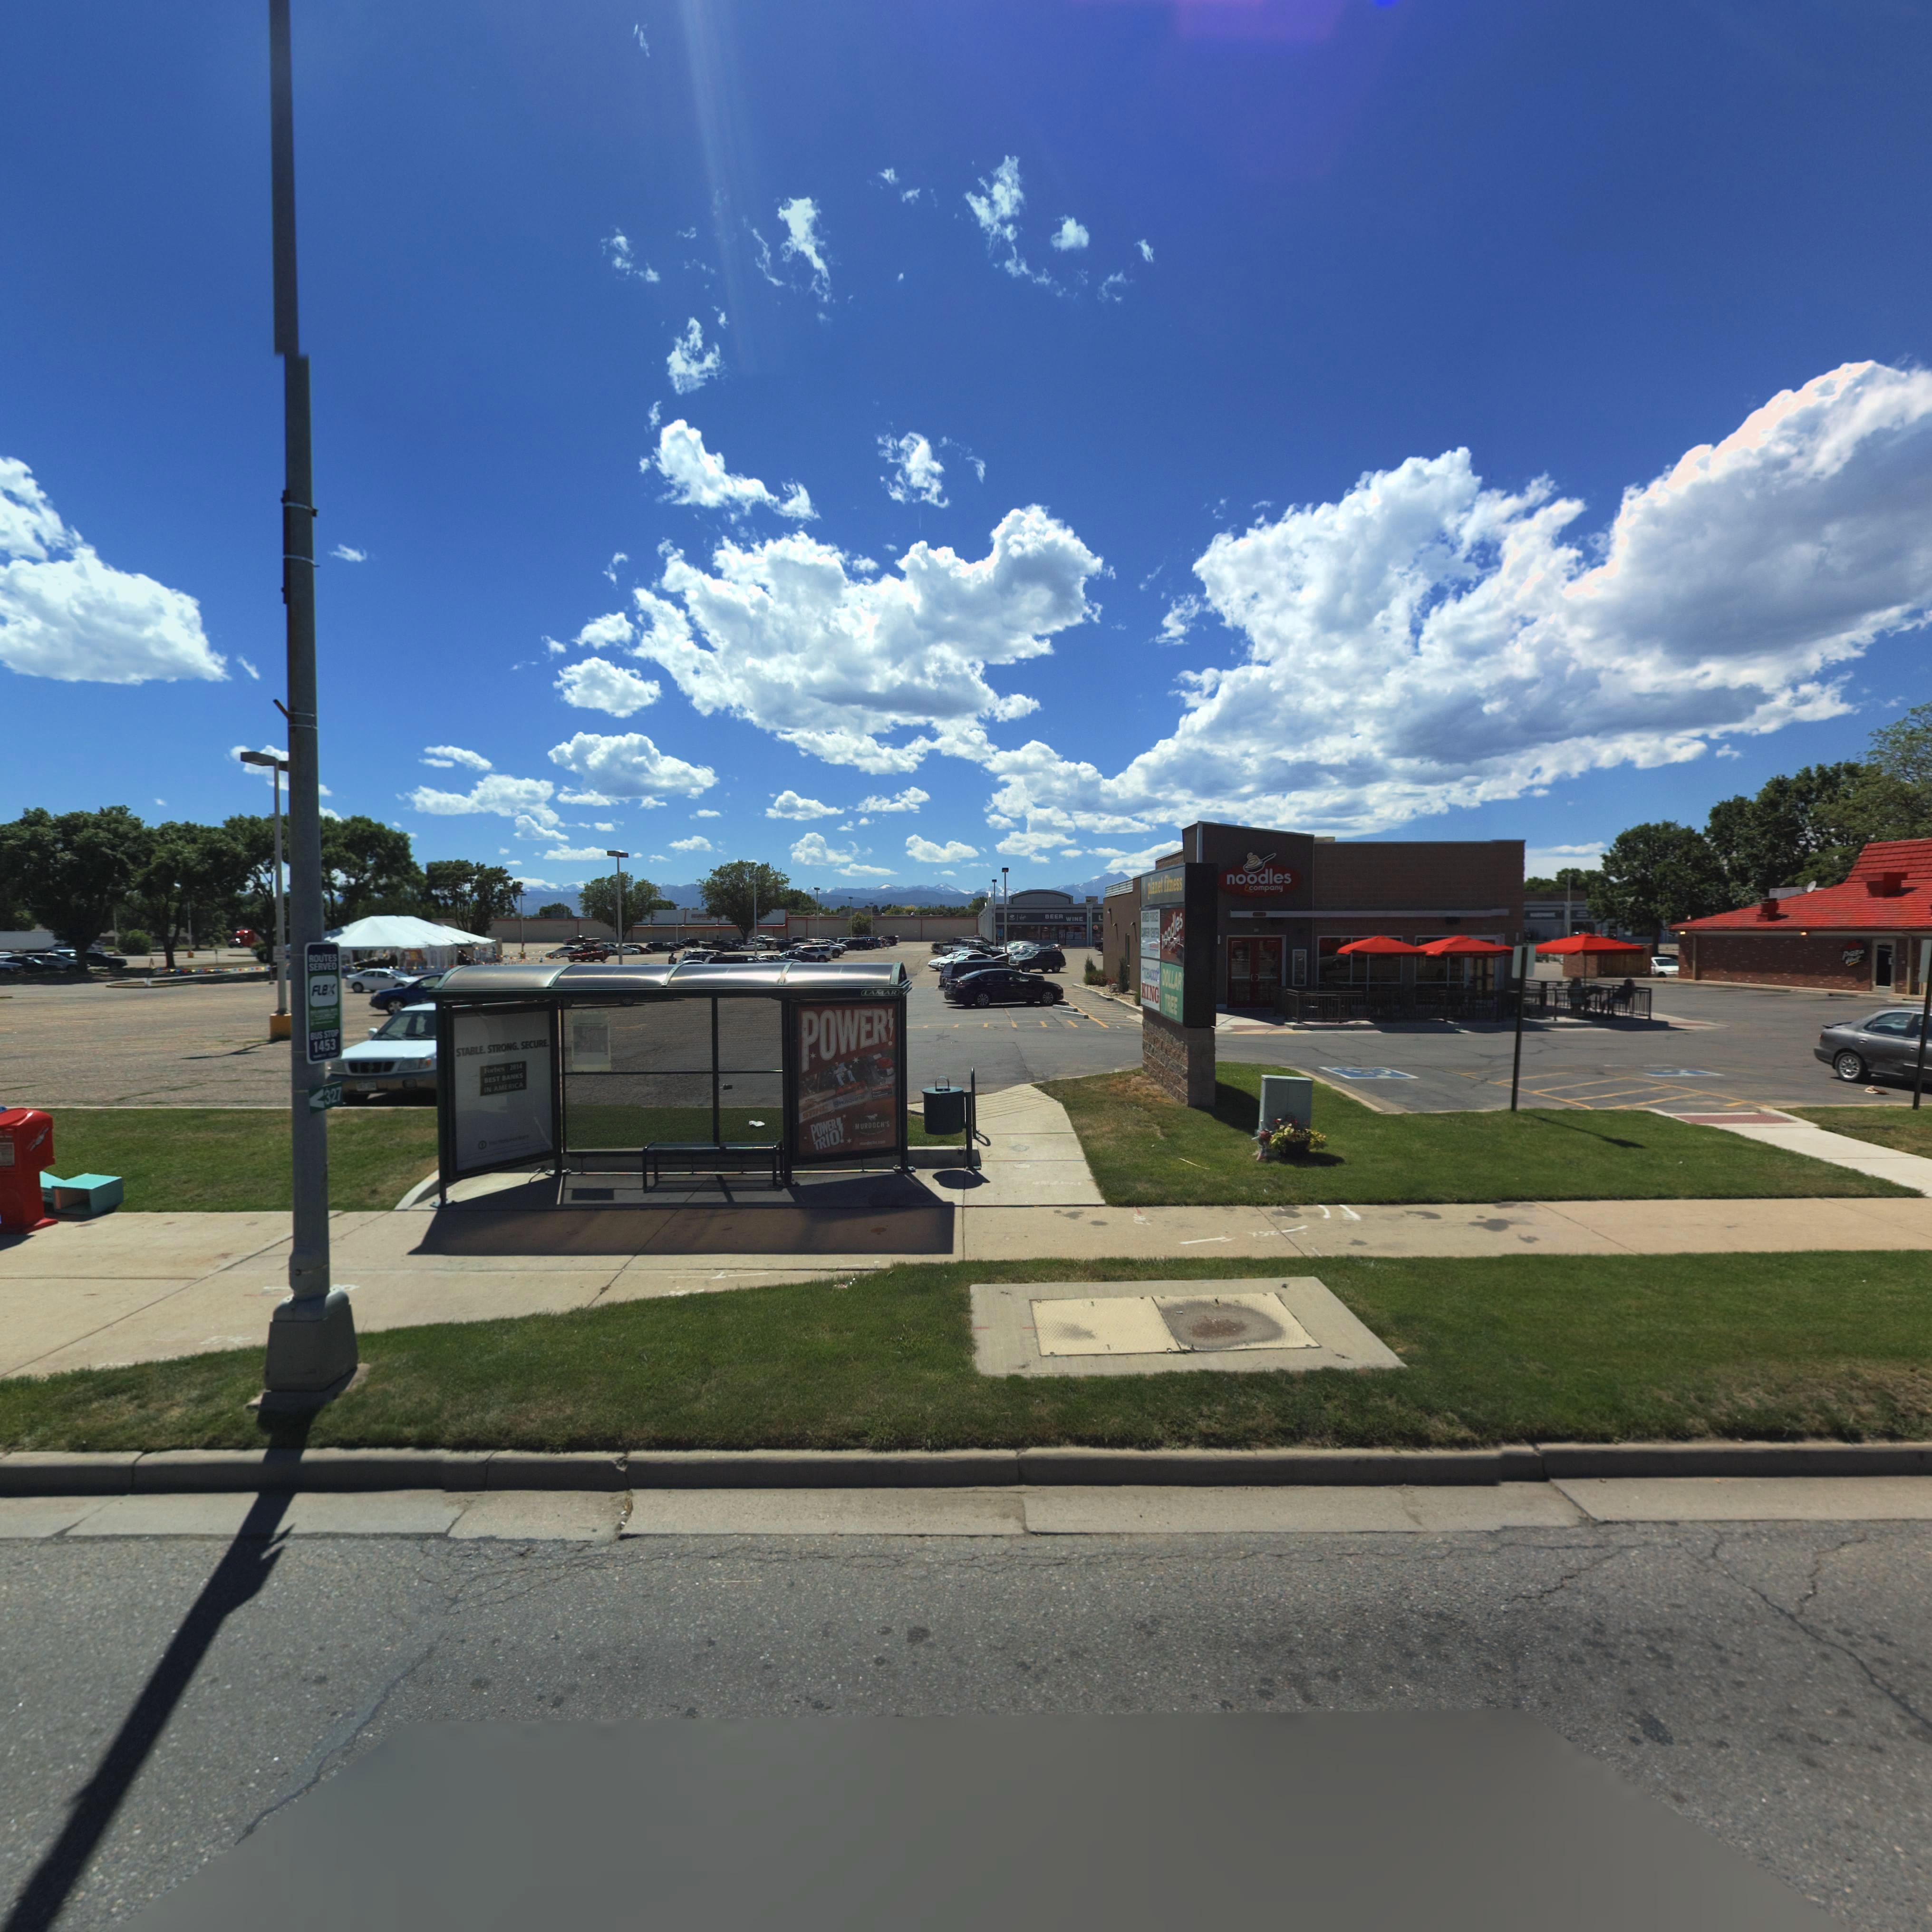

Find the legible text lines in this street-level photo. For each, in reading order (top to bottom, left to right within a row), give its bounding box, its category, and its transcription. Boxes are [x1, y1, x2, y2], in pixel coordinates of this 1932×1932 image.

[1147, 874, 1183, 899] BusinessName: planet fitness
[1226, 867, 1292, 885] BusinessName: noodles
[1244, 883, 1283, 893] BusinessName: * company
[1160, 910, 1183, 950] BusinessName: noodles
[1841, 949, 1864, 961] BusinessName: p*zza
[1143, 966, 1158, 982] BusinessName: **BA***
[1161, 967, 1182, 992] BusinessName: DOLLAR
[1141, 982, 1159, 1005] BusinessName: KING
[1164, 993, 1178, 1016] BusinessName: TREE